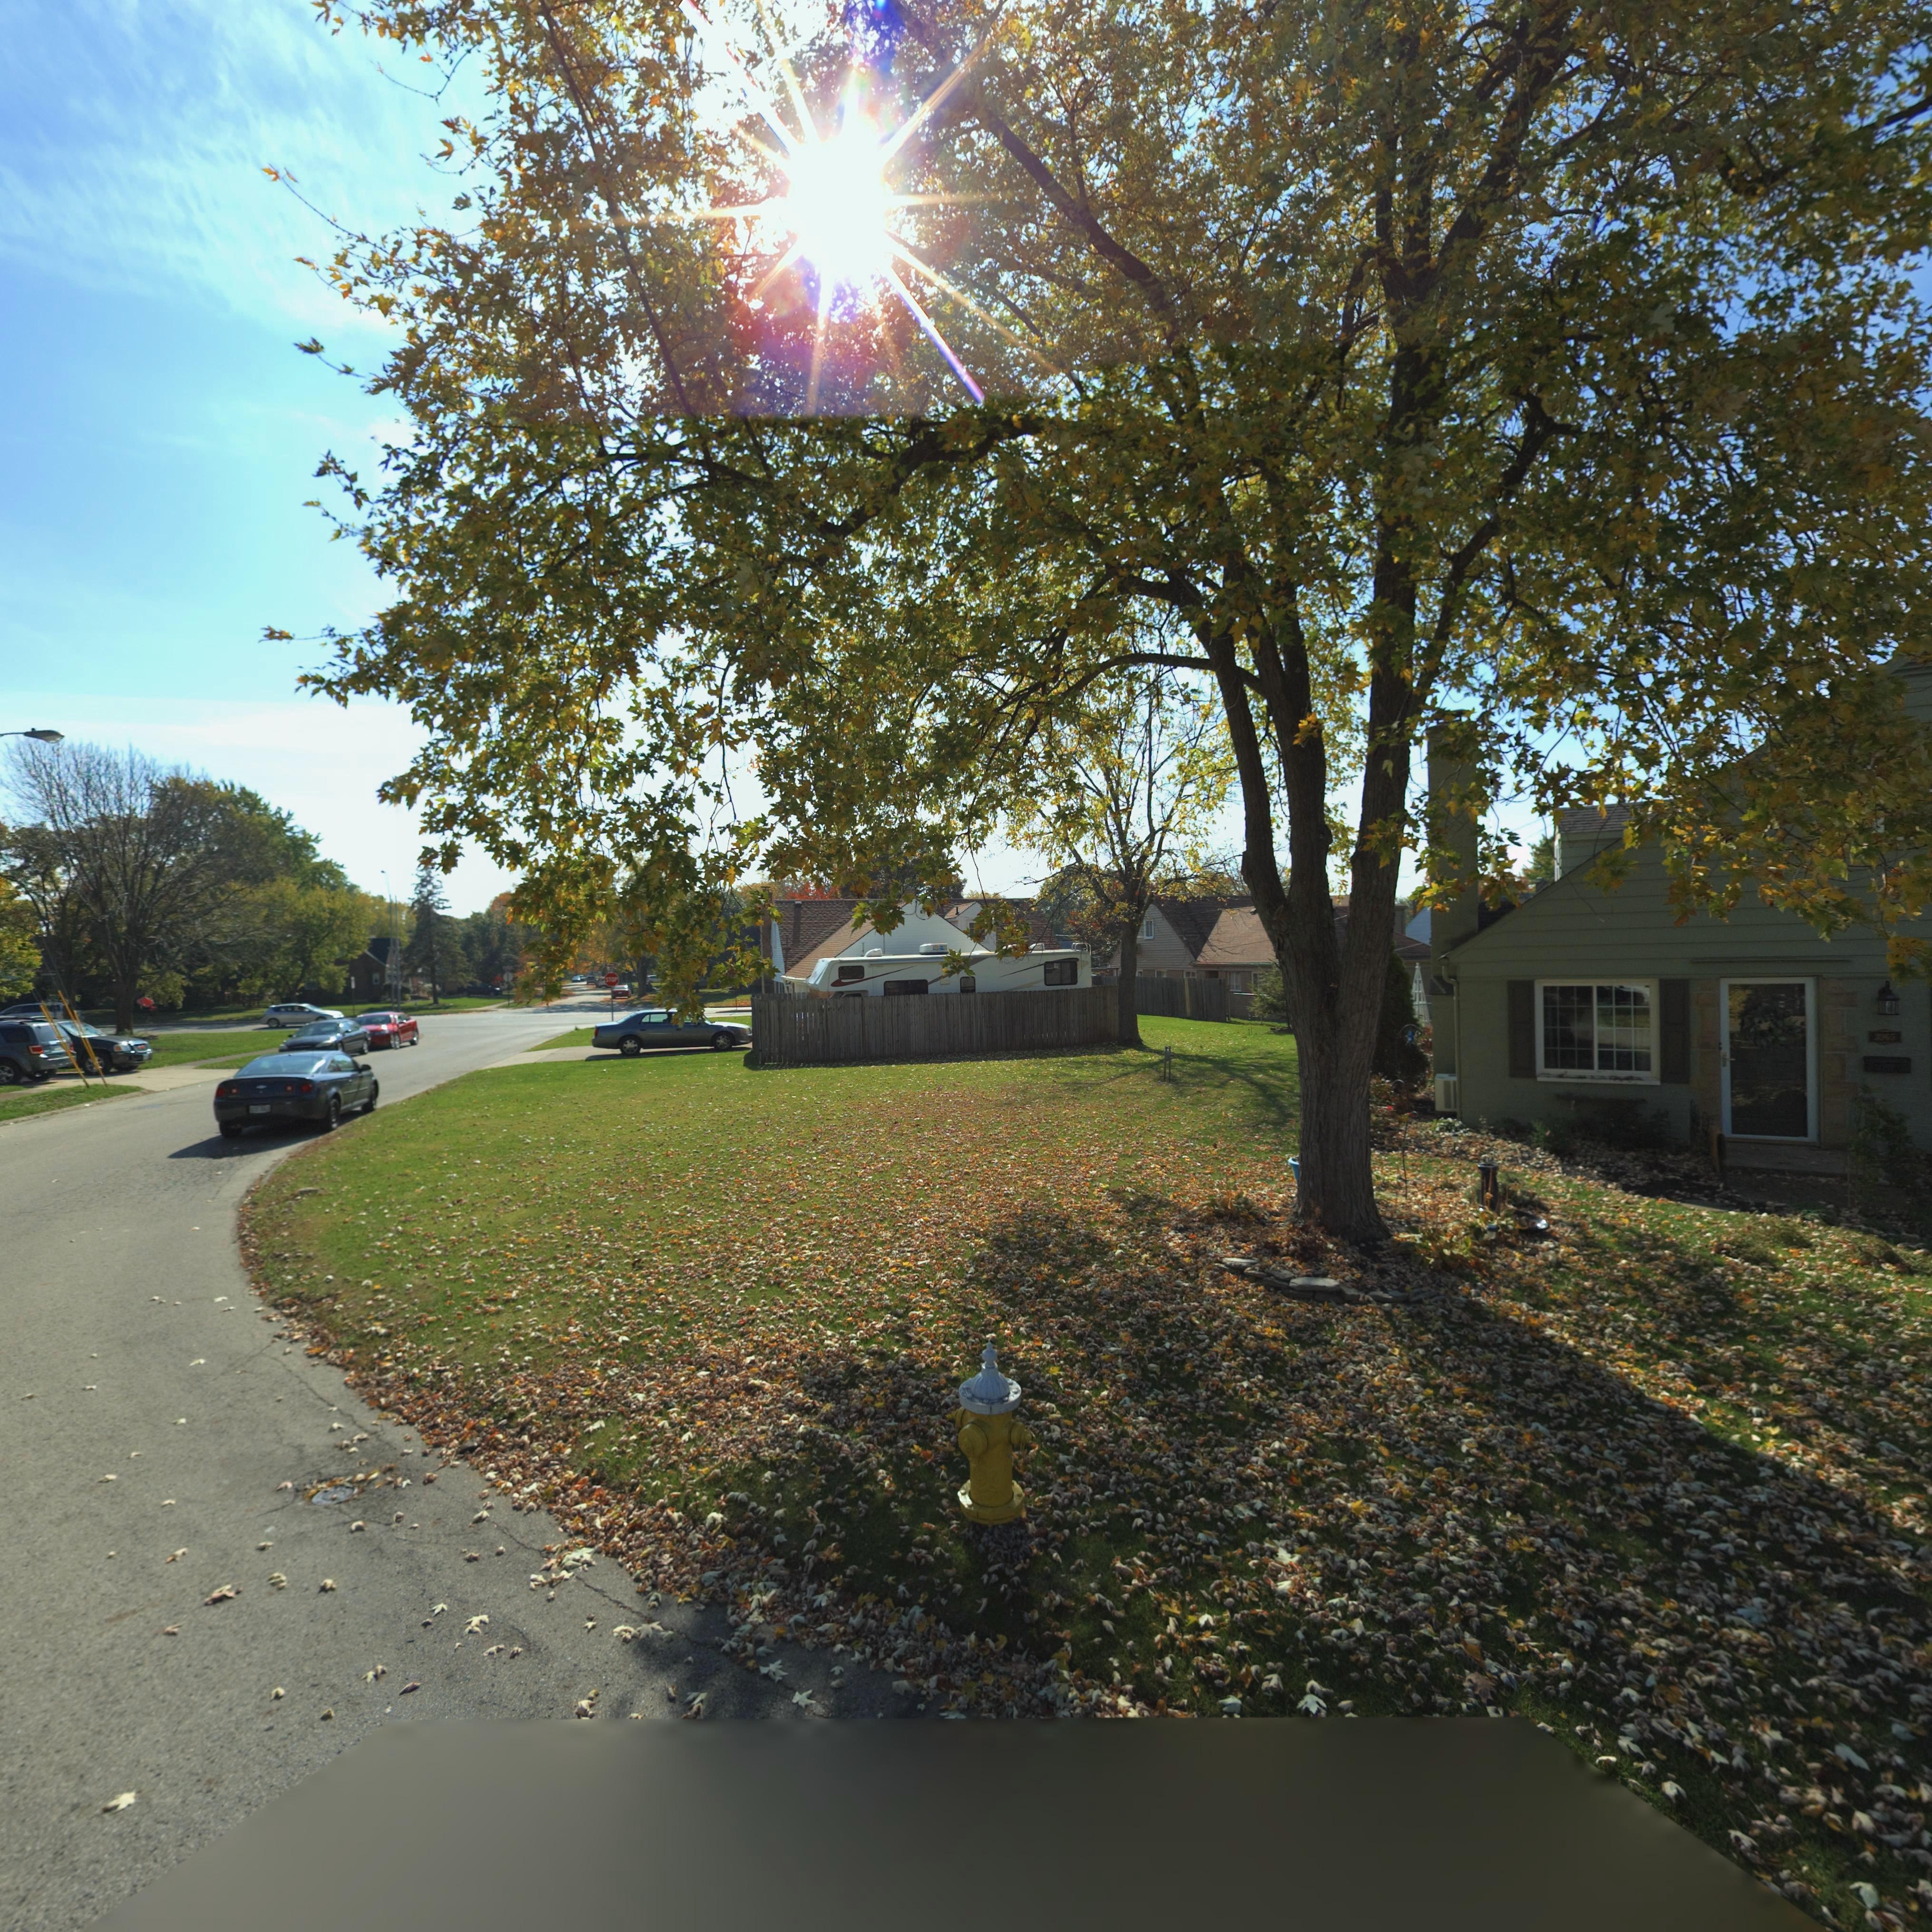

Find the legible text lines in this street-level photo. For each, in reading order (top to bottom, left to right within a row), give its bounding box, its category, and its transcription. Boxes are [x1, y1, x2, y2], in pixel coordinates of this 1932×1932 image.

[605, 976, 618, 983] None: STOP